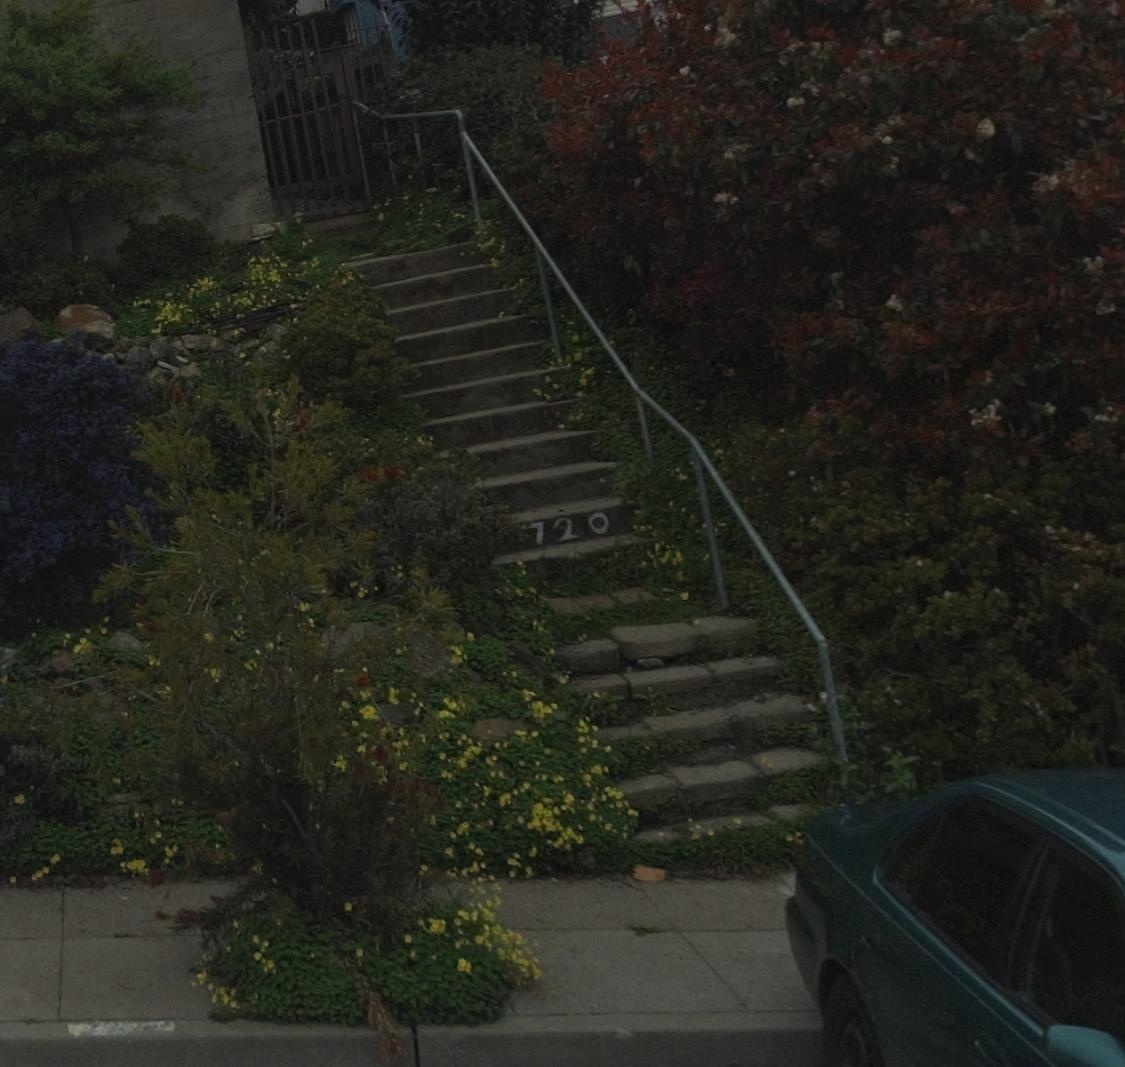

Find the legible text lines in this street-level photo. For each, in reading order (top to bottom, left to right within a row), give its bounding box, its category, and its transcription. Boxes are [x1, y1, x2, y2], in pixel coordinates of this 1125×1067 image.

[514, 510, 612, 547] StreetNumber: 720